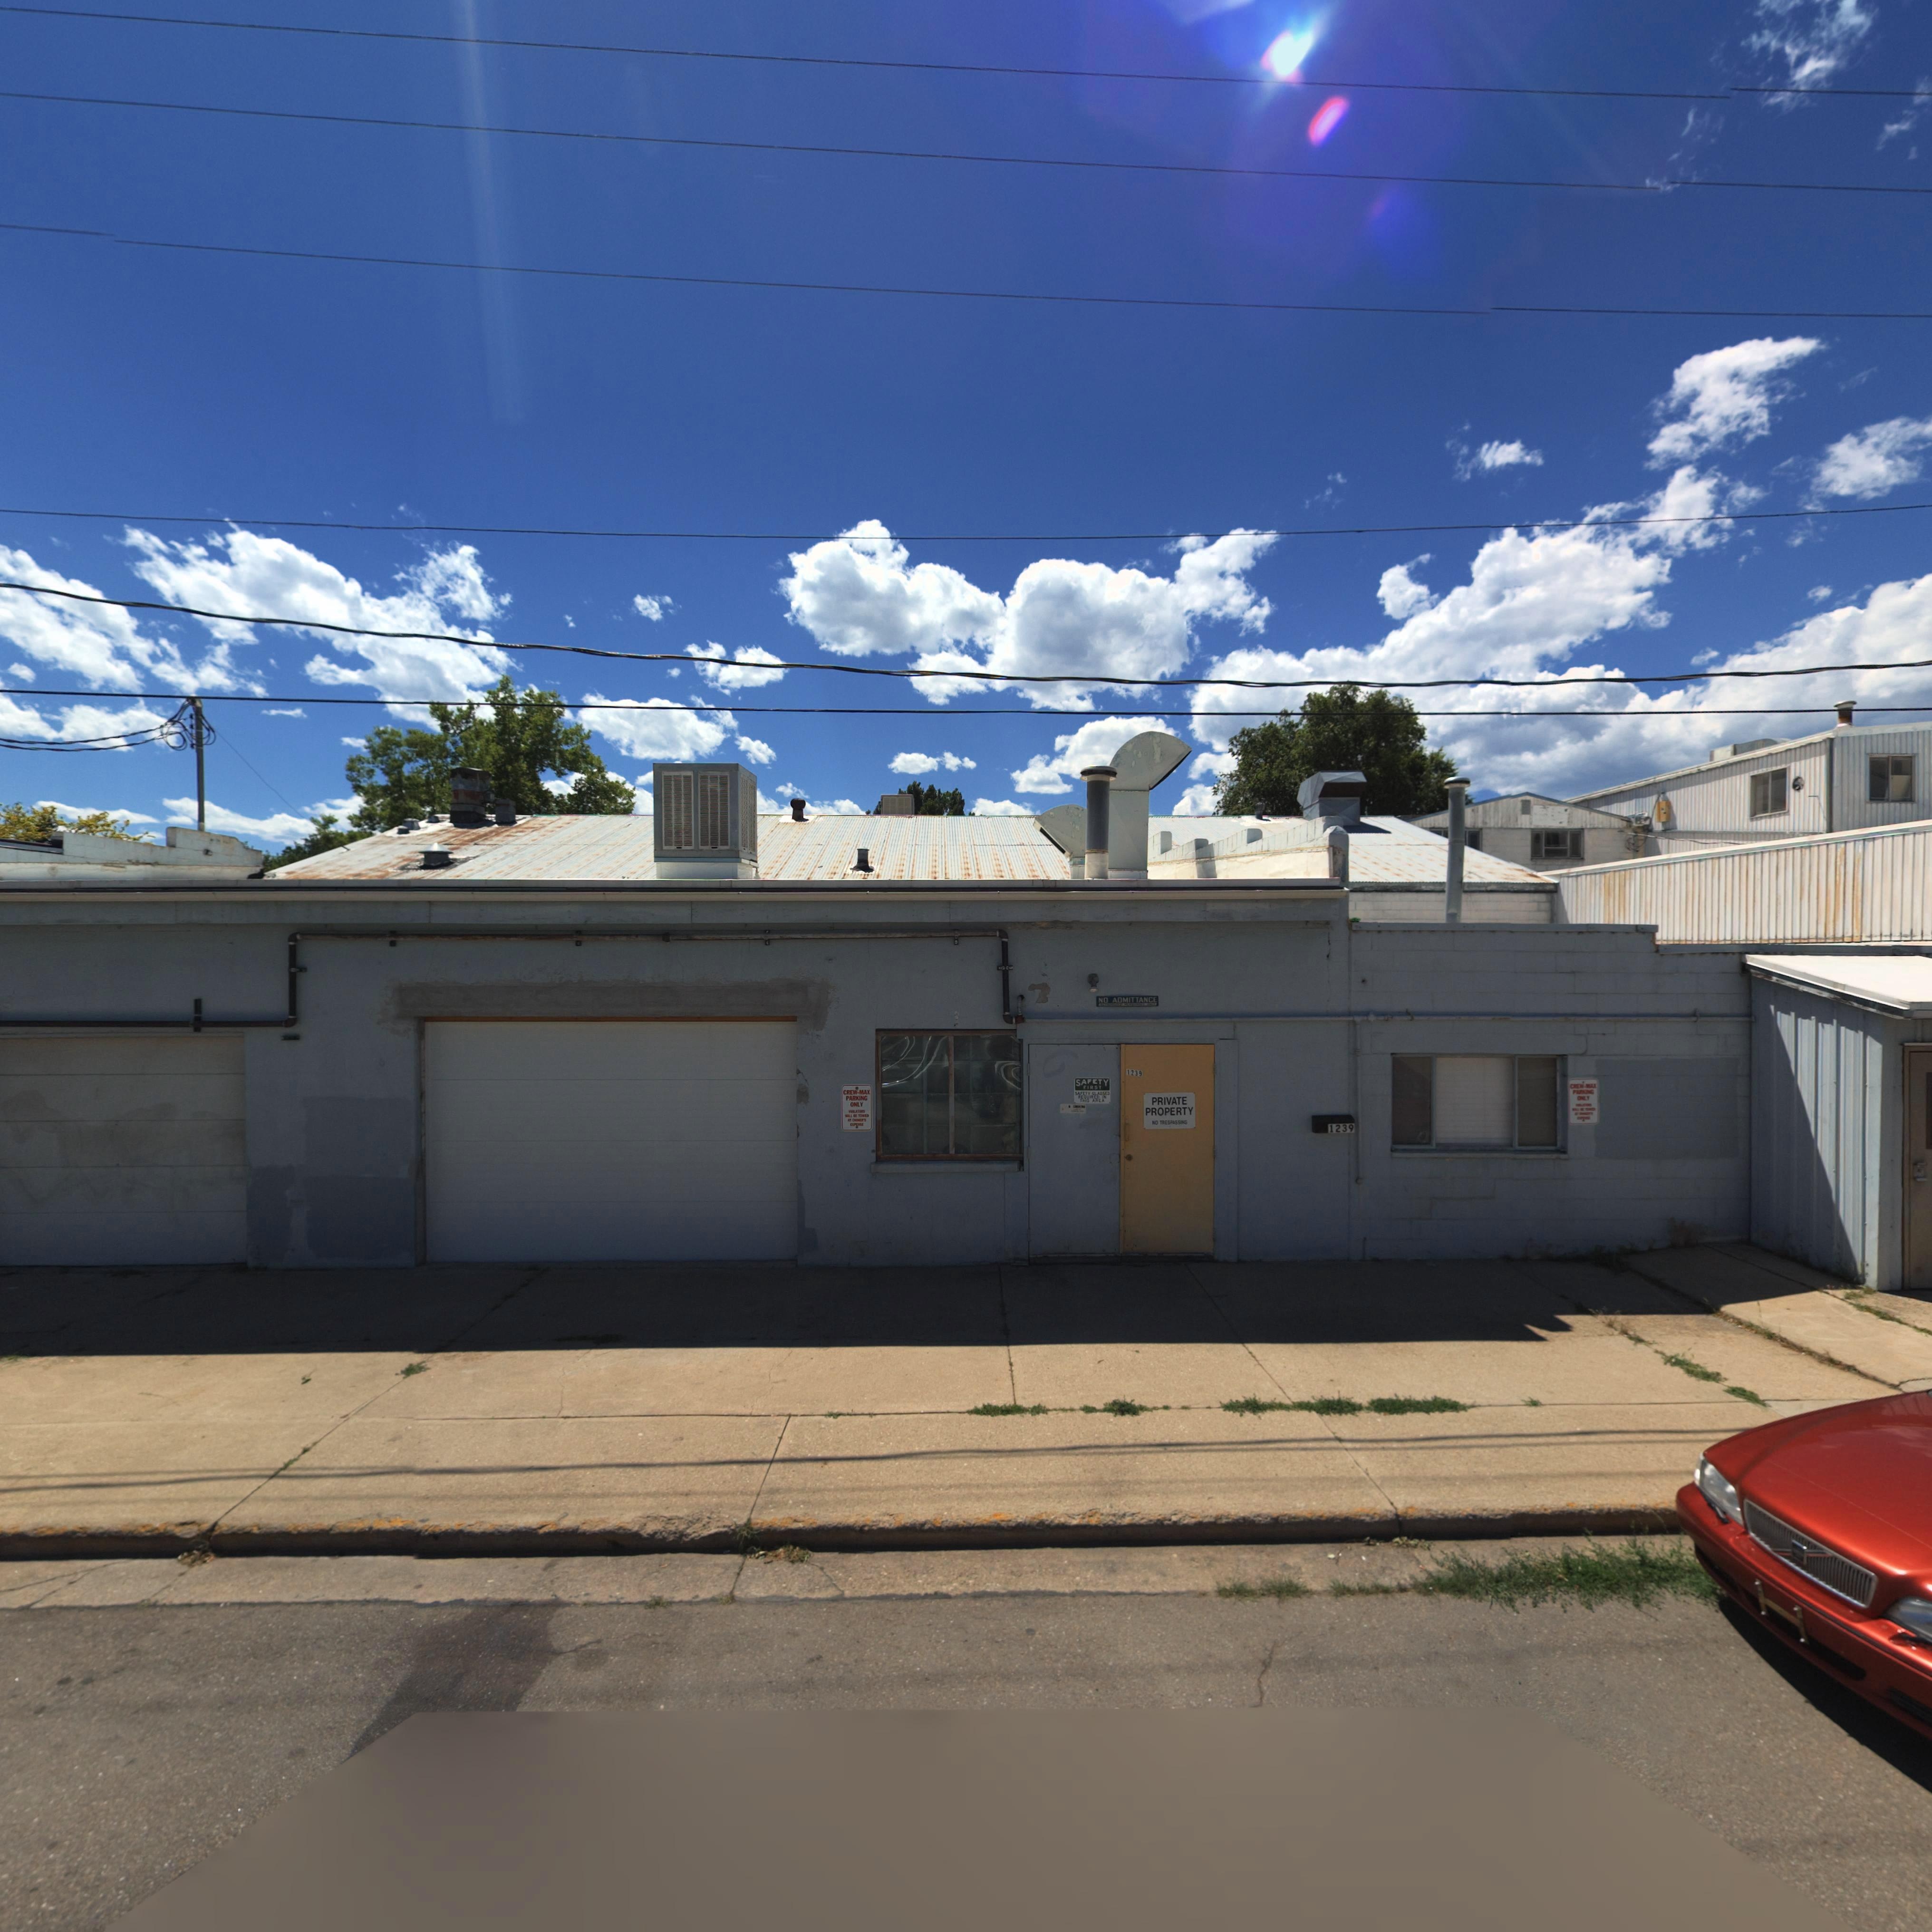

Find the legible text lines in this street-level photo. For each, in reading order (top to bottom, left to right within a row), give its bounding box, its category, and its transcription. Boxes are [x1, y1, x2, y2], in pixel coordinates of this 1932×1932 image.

[1126, 1069, 1142, 1077] StreetNumber: 1239
[1329, 1123, 1354, 1133] StreetNumber: 1239